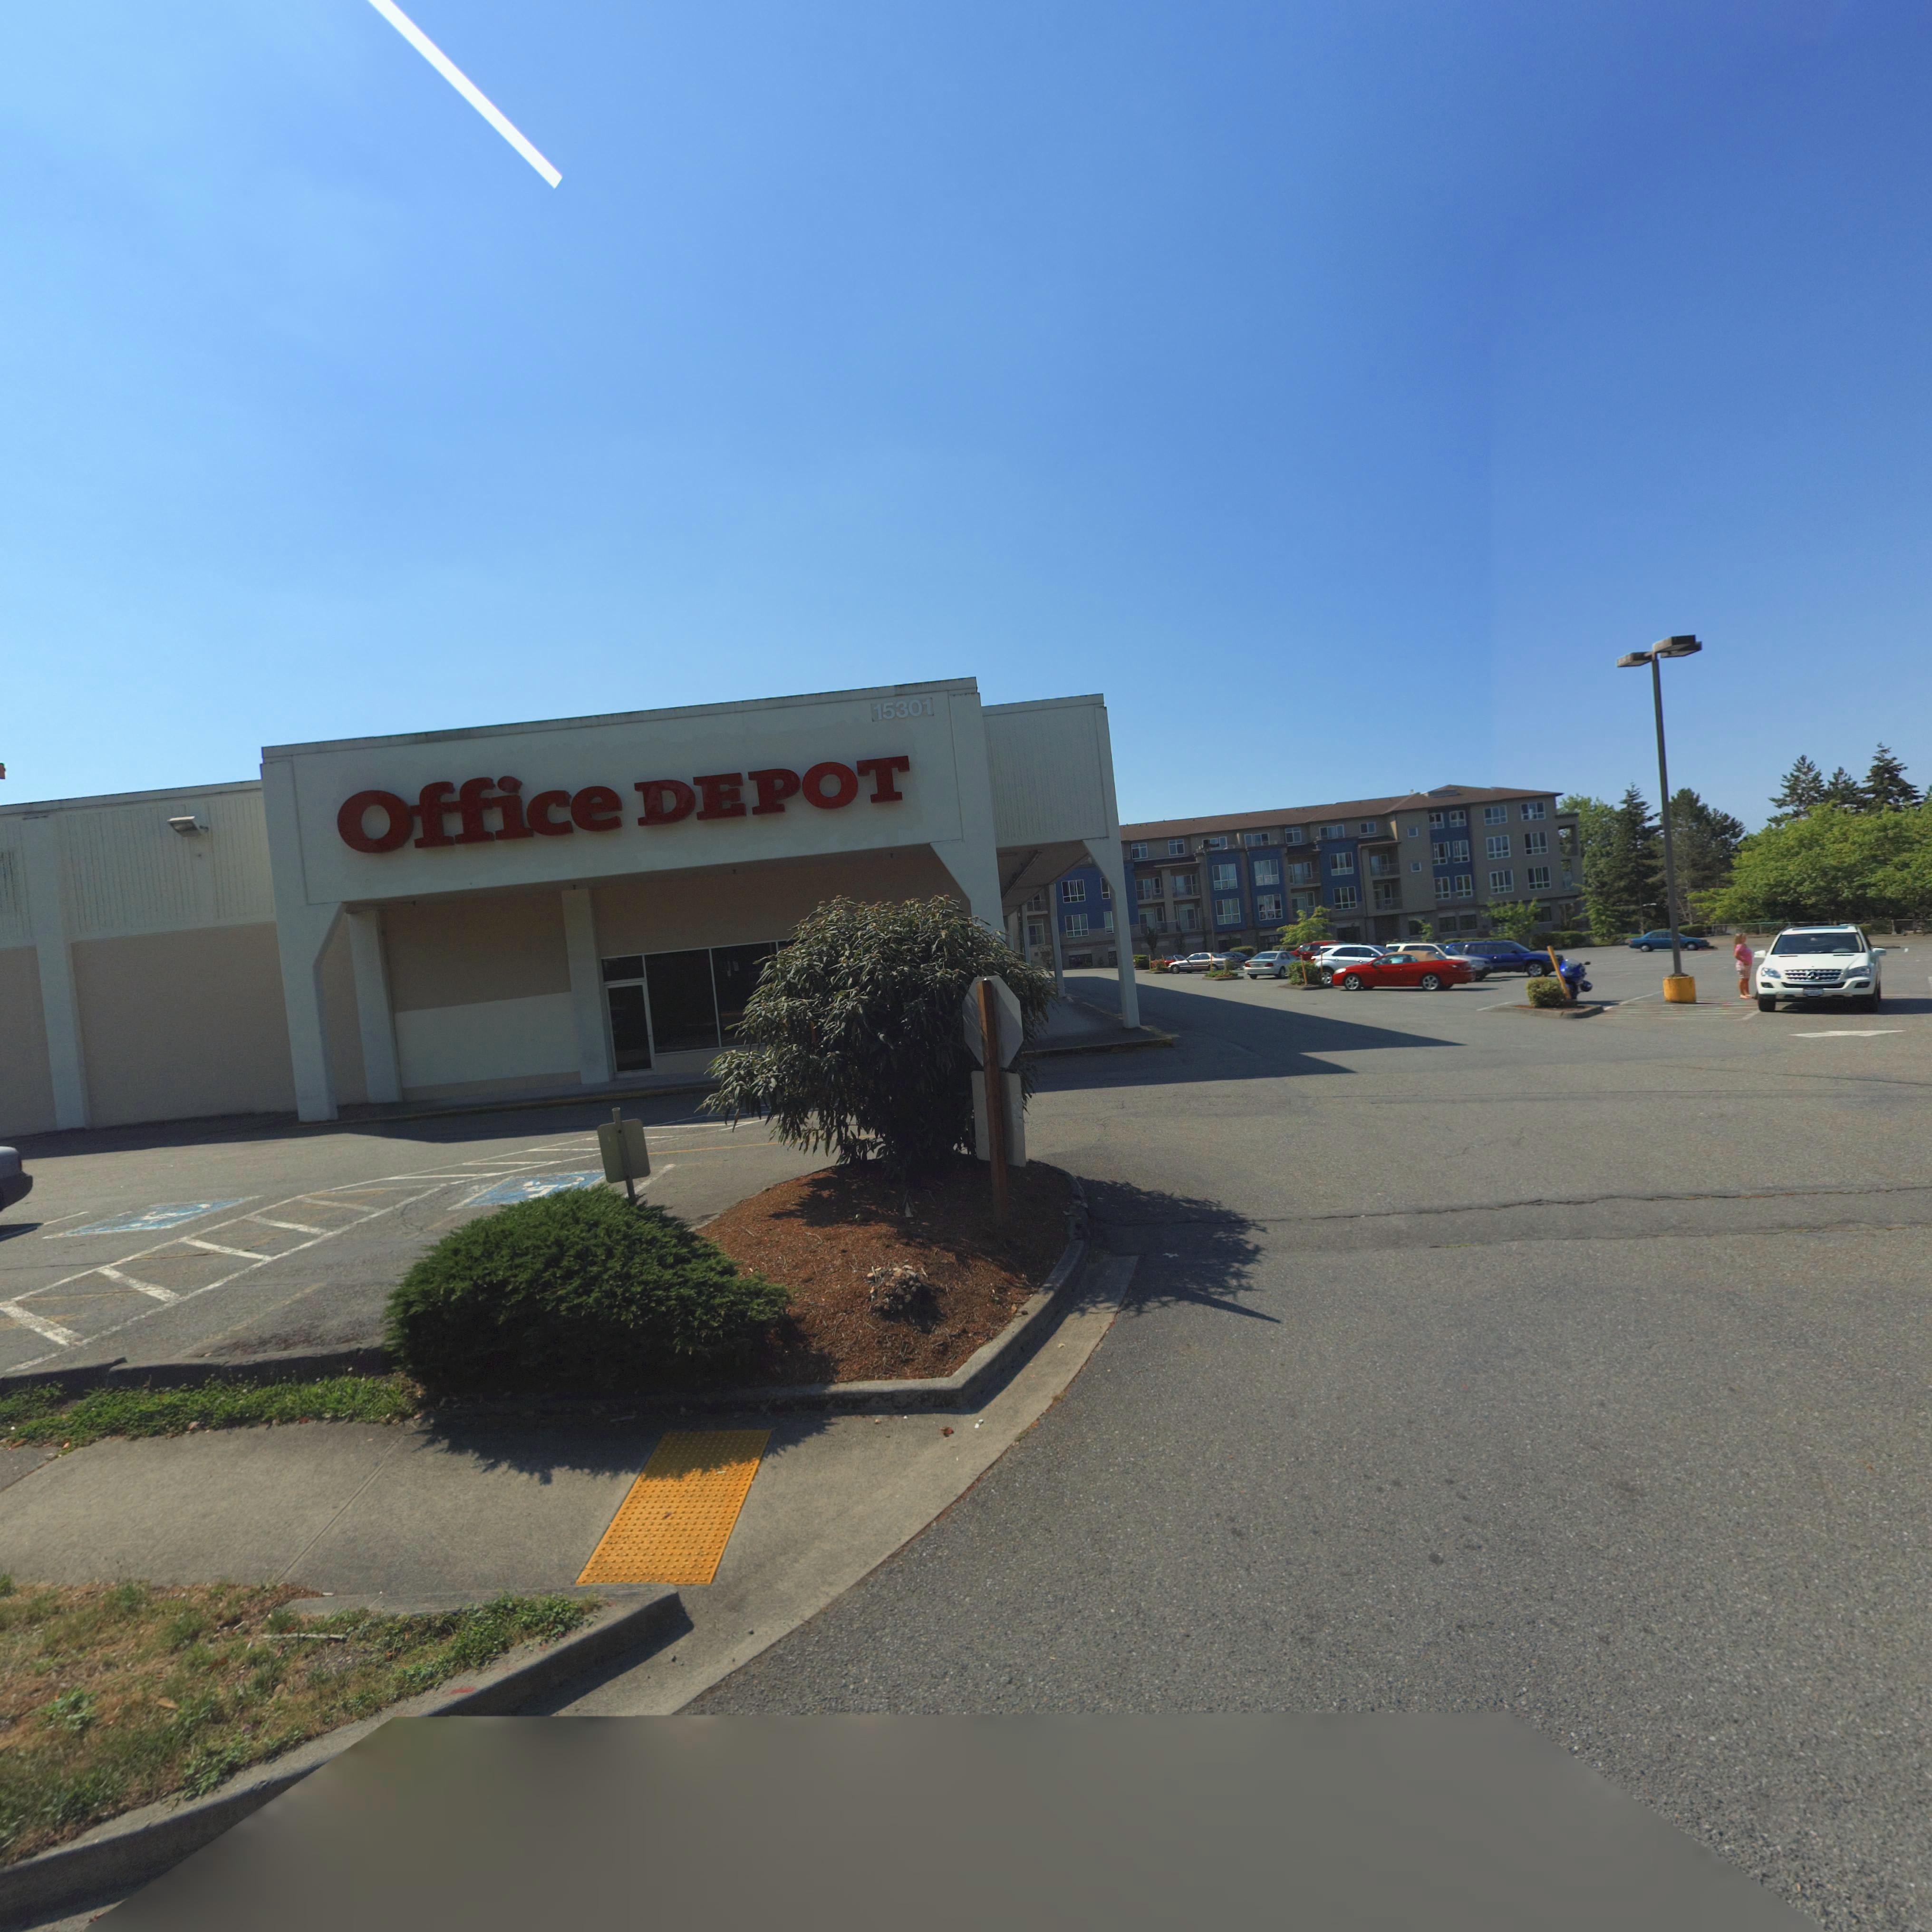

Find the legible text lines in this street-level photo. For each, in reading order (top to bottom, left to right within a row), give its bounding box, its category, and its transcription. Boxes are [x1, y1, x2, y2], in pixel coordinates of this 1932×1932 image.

[871, 697, 933, 721] StreetNumber: 15301
[331, 750, 911, 857] BusinessName: Office DEPOT